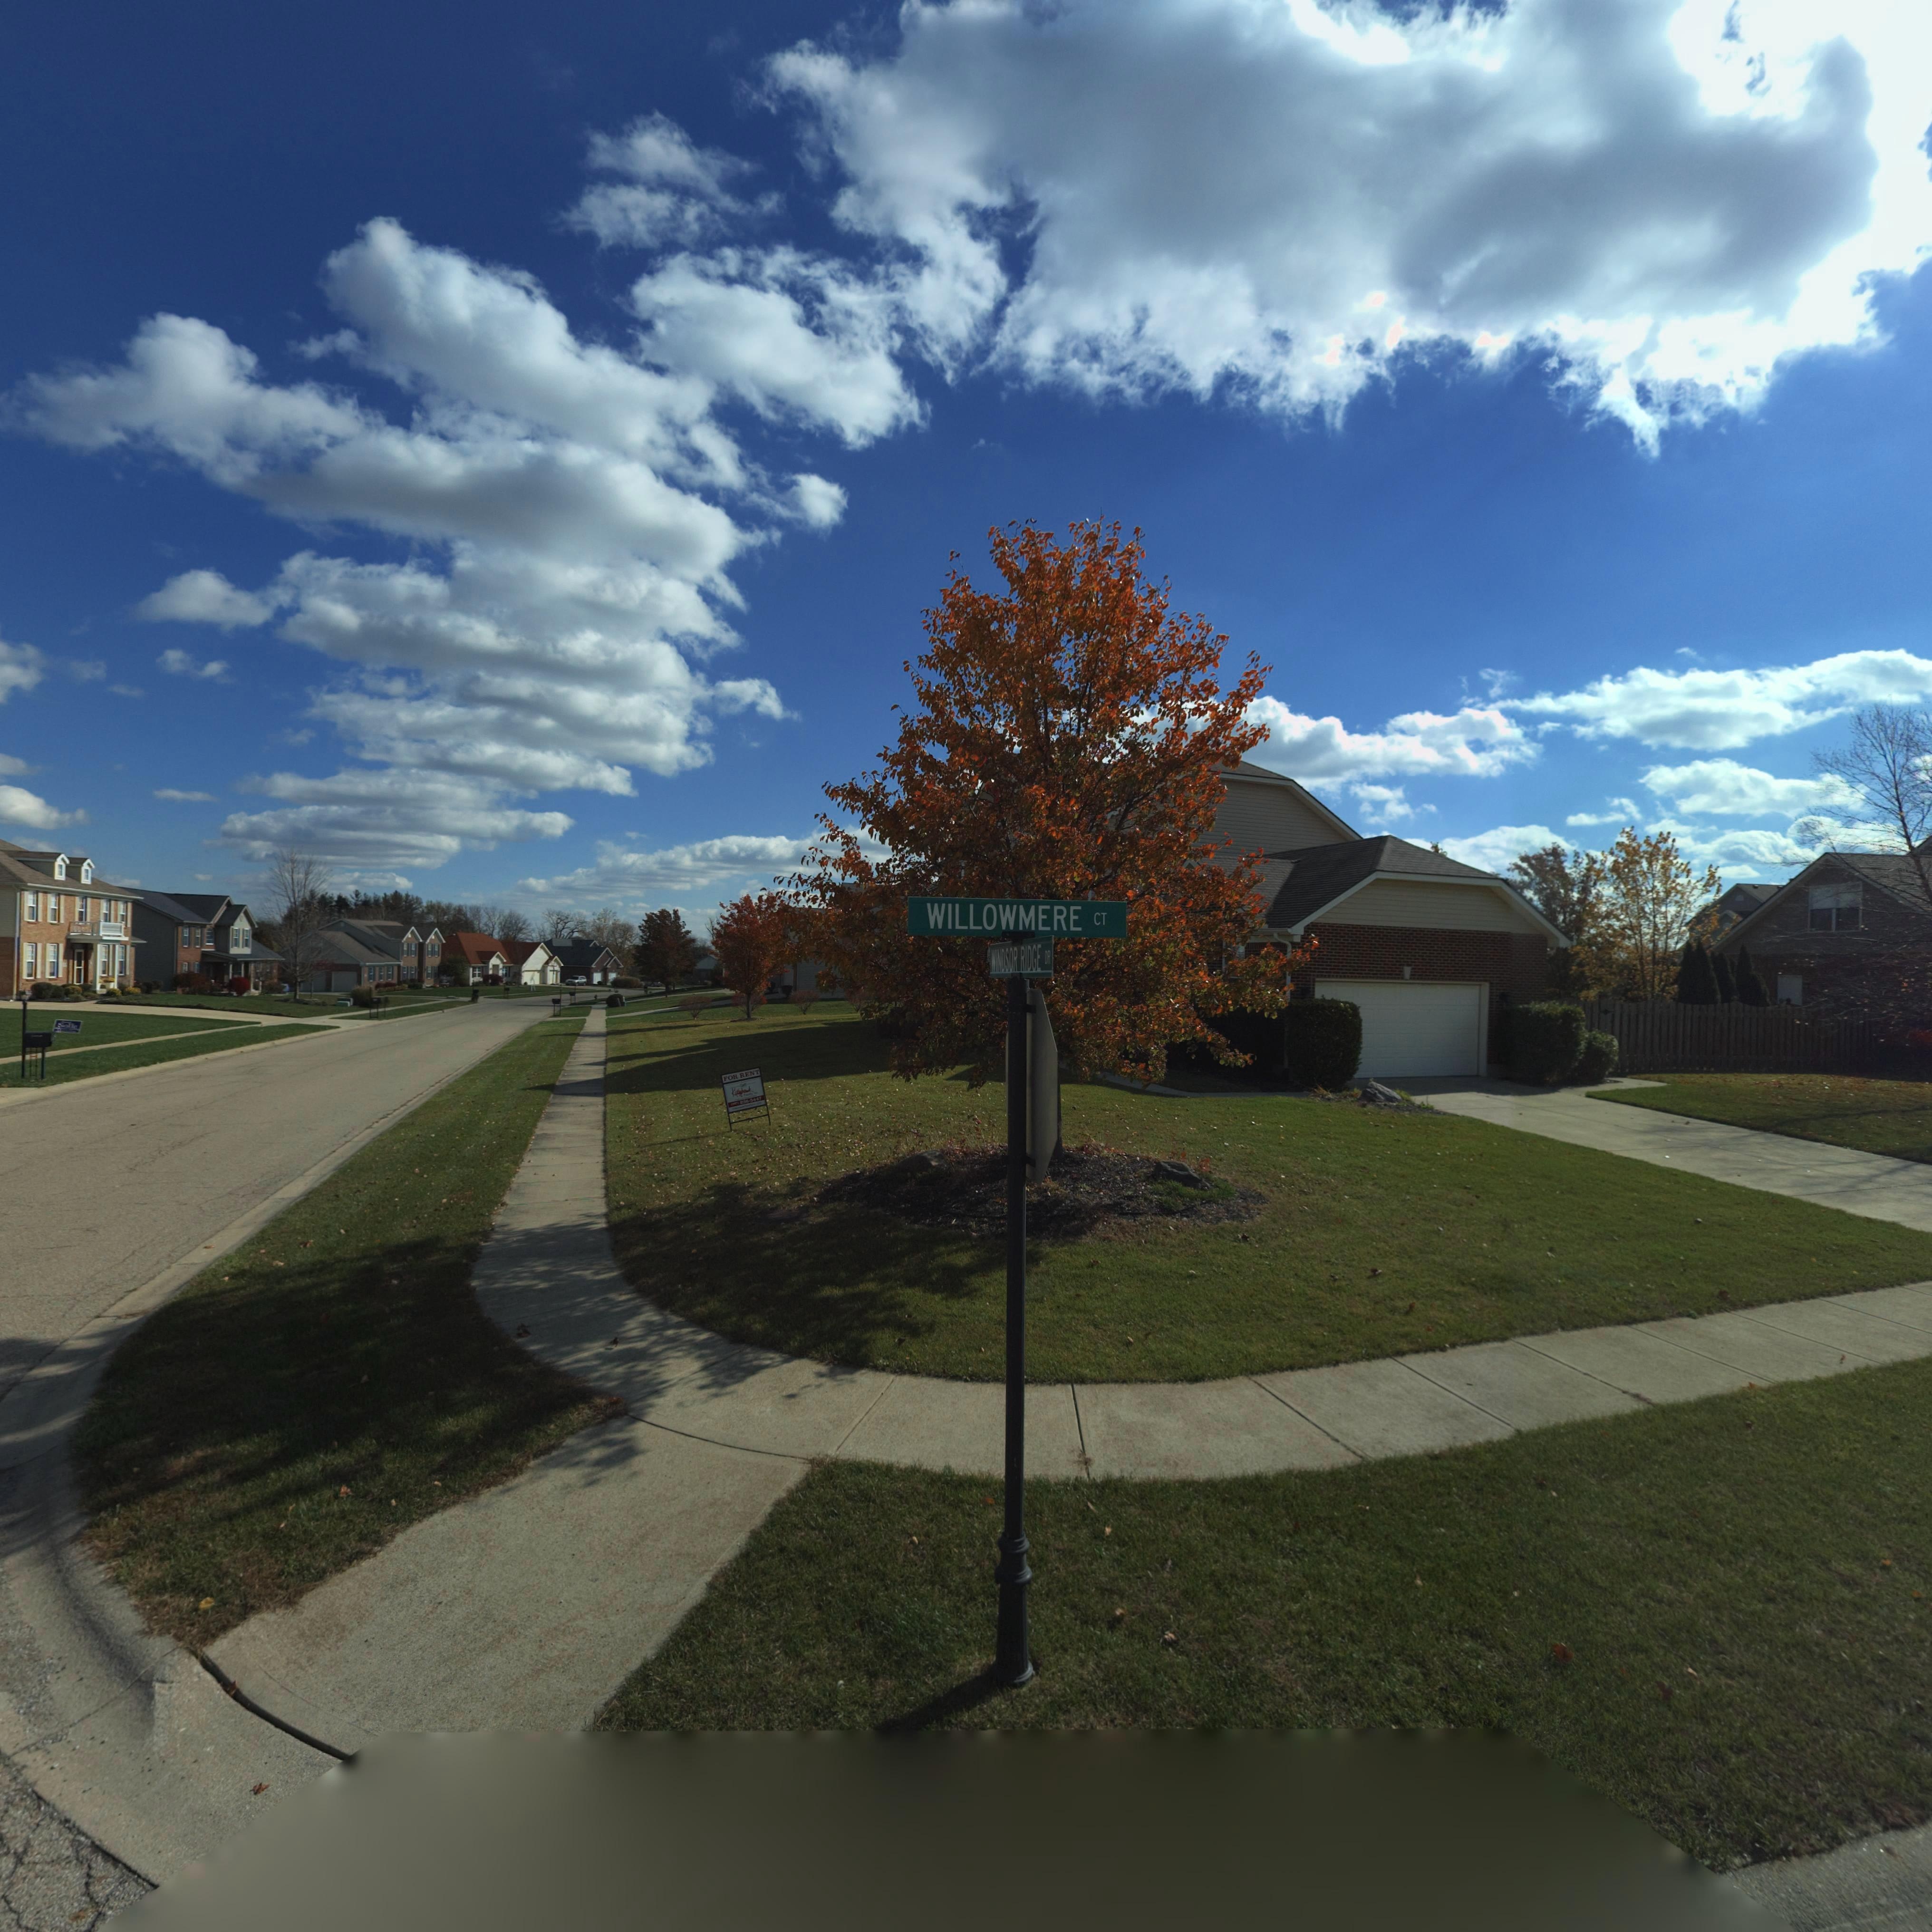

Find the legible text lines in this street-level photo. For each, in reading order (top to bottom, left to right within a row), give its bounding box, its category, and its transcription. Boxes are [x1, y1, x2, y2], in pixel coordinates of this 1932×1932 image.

[924, 901, 1109, 932] StreetName: WILLOWMERE CT
[990, 943, 1052, 974] StreetName: WINDSOR RIDGE DR